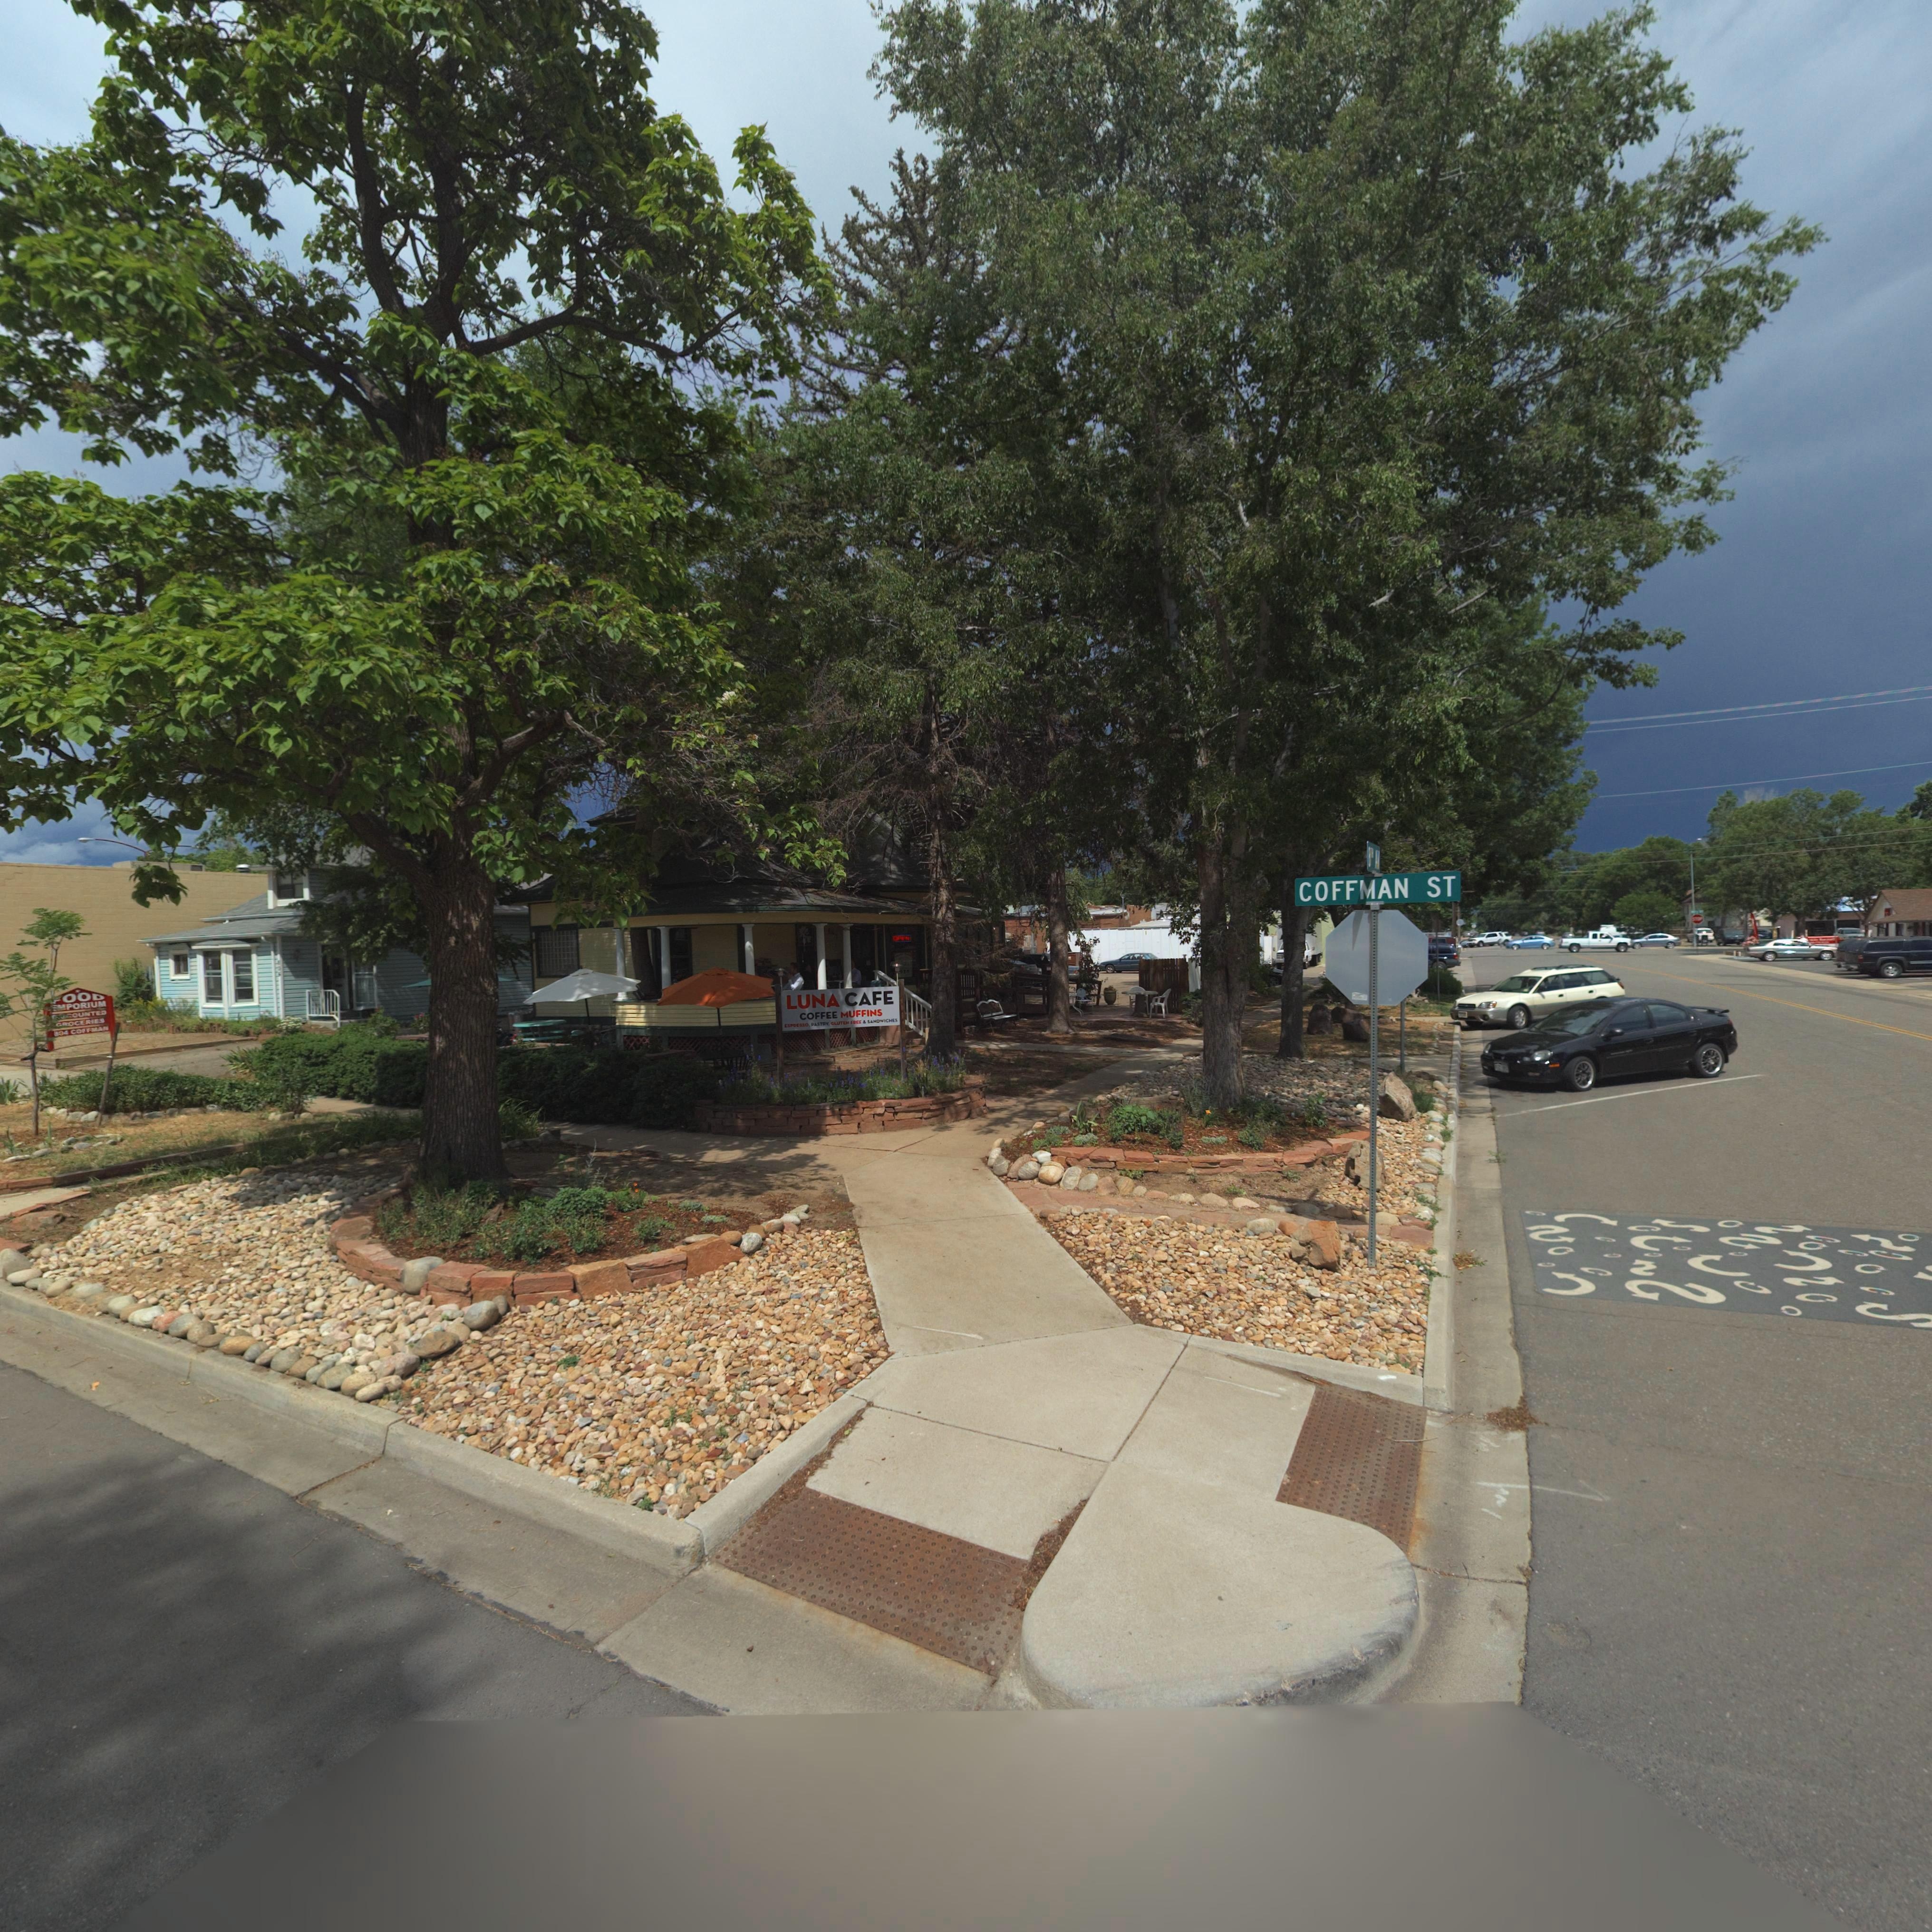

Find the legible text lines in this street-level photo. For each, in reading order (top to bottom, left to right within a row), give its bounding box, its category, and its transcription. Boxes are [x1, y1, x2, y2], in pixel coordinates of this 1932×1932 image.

[1367, 845, 1380, 869] StreetName: 8TH AV
[1297, 875, 1457, 903] StreetName: COFFMAN ST
[61, 992, 105, 1003] BusinessName: OOD
[65, 1000, 107, 1011] BusinessName: PORIUM
[785, 989, 895, 1010] BusinessName: LUNA CAFE
[53, 1029, 68, 1037] StreetNumber: 804